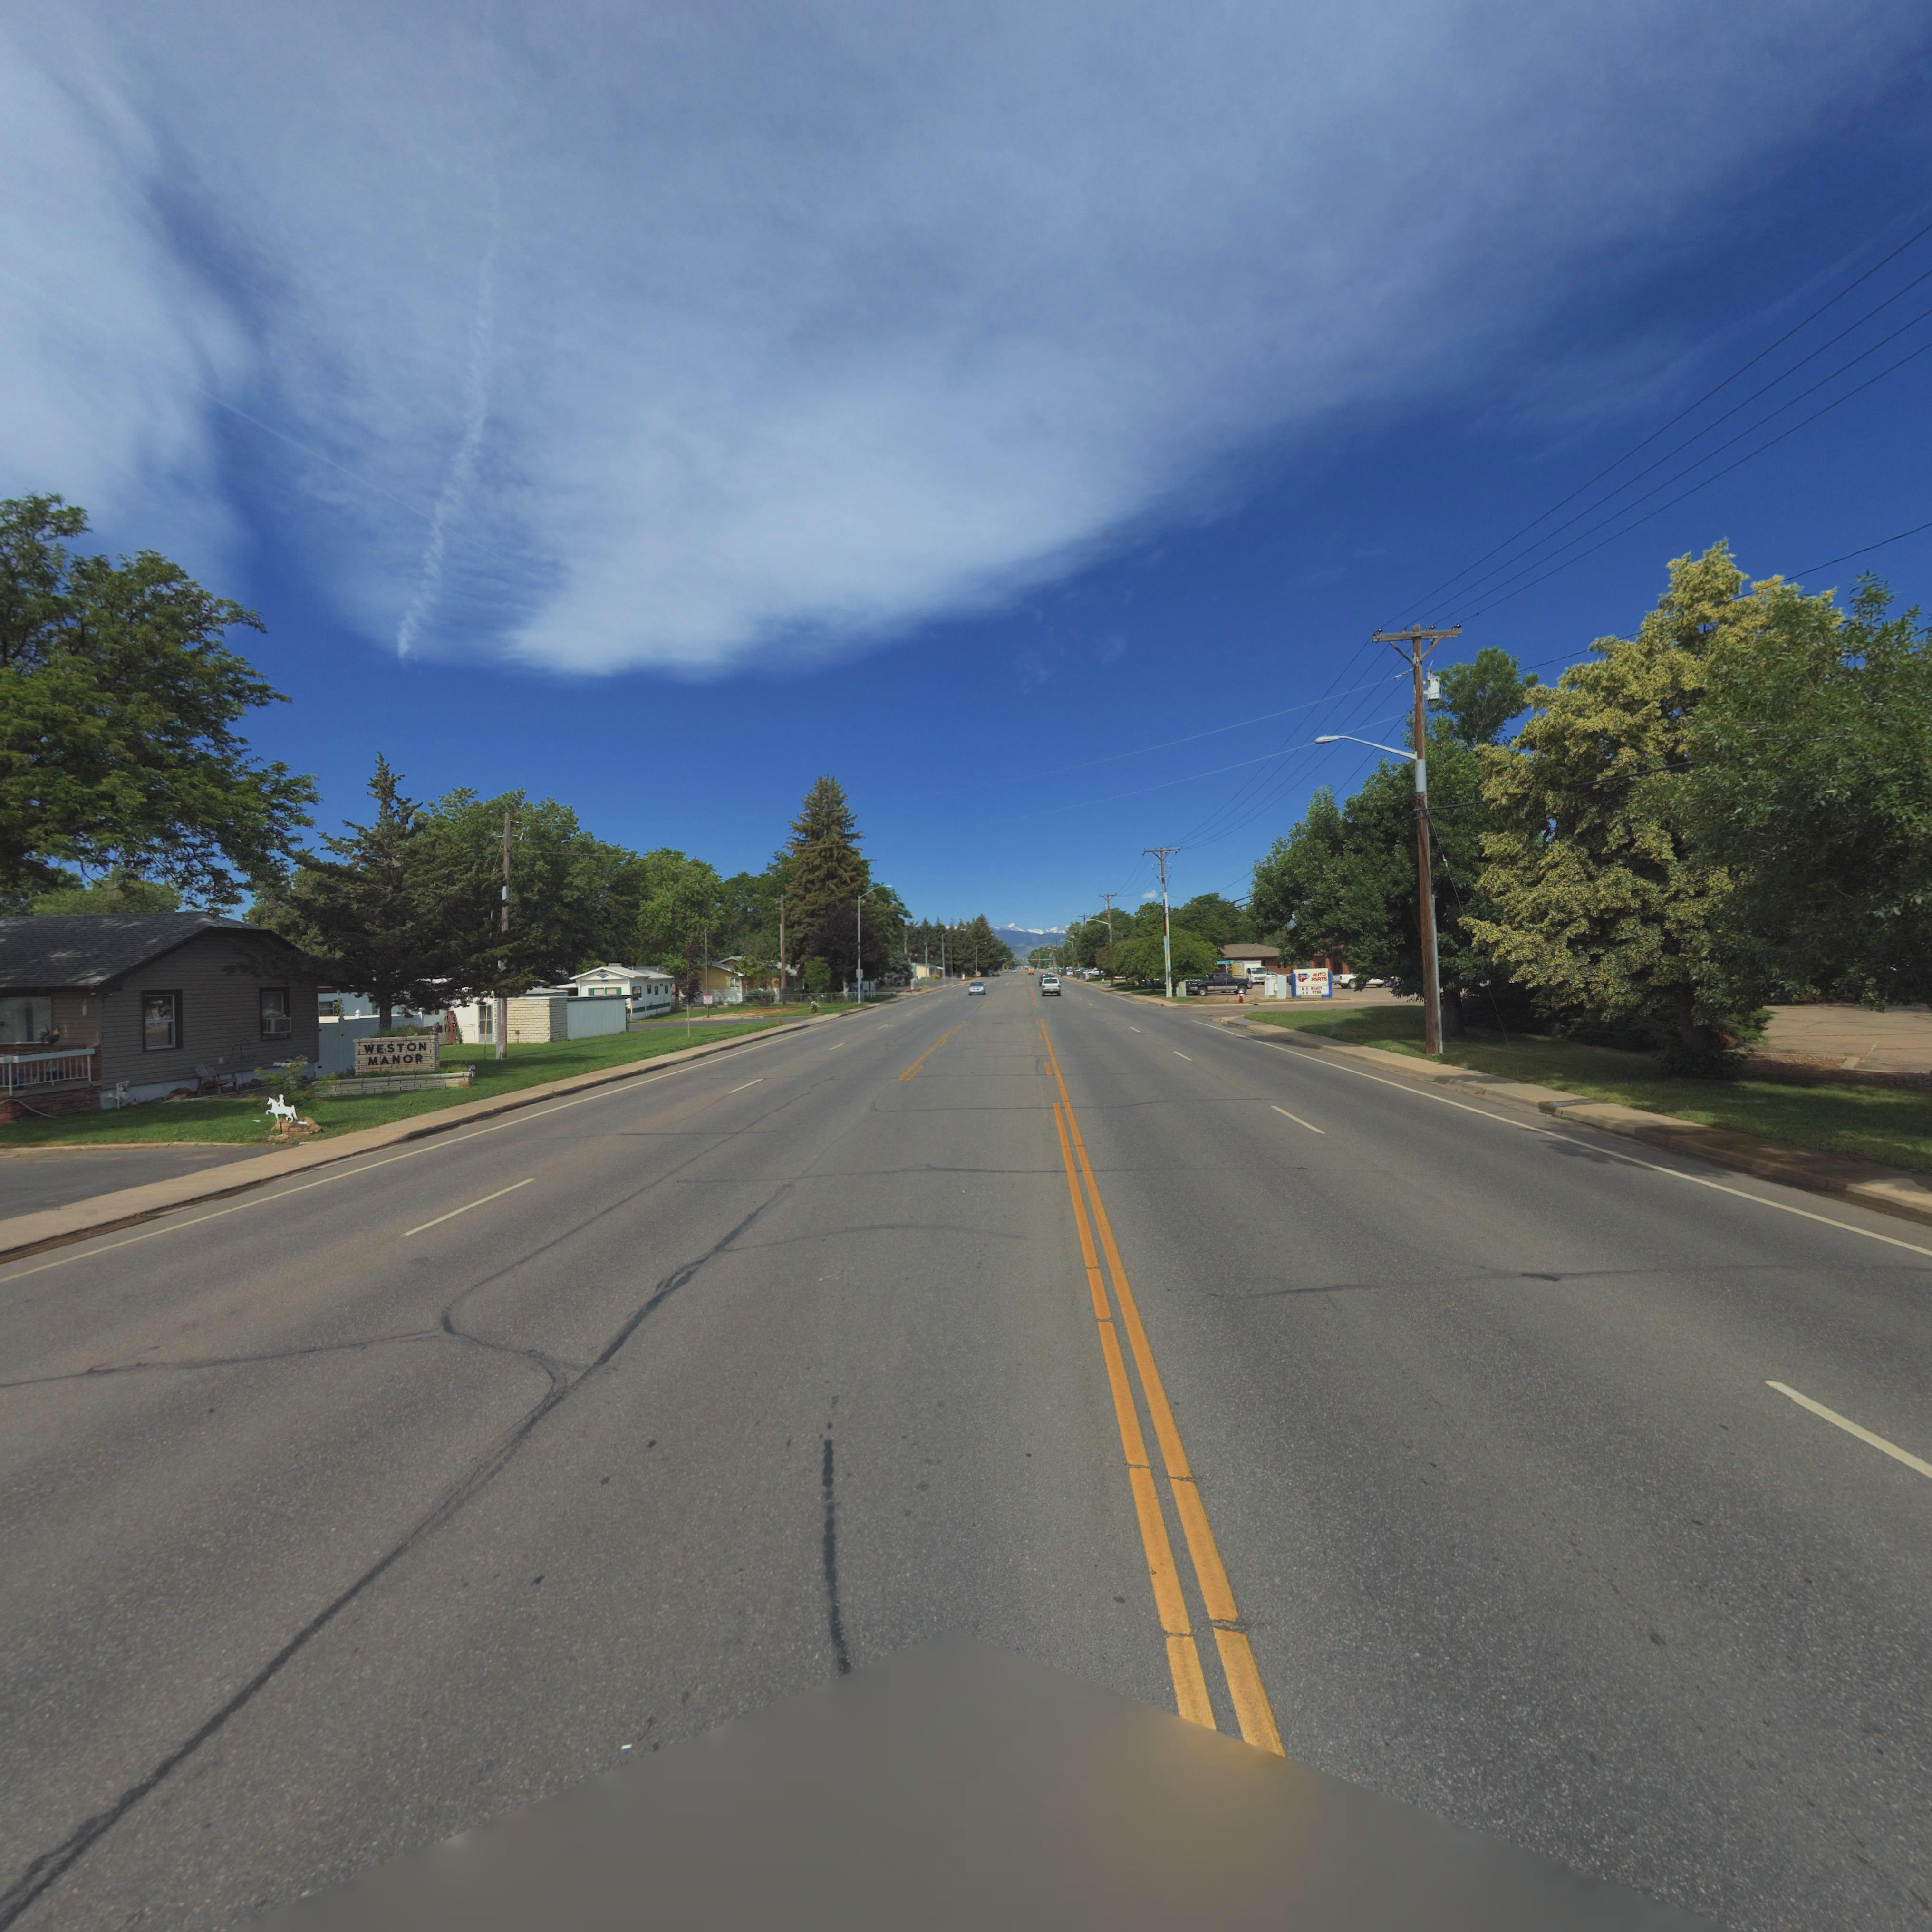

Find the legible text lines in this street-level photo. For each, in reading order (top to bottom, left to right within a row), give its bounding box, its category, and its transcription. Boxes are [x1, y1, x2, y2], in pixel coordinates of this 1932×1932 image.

[1216, 960, 1234, 964] StreetName: *UC**S* D*
[362, 1041, 427, 1054] BusinessName: WESTON
[367, 1053, 424, 1066] BusinessName: MANOR